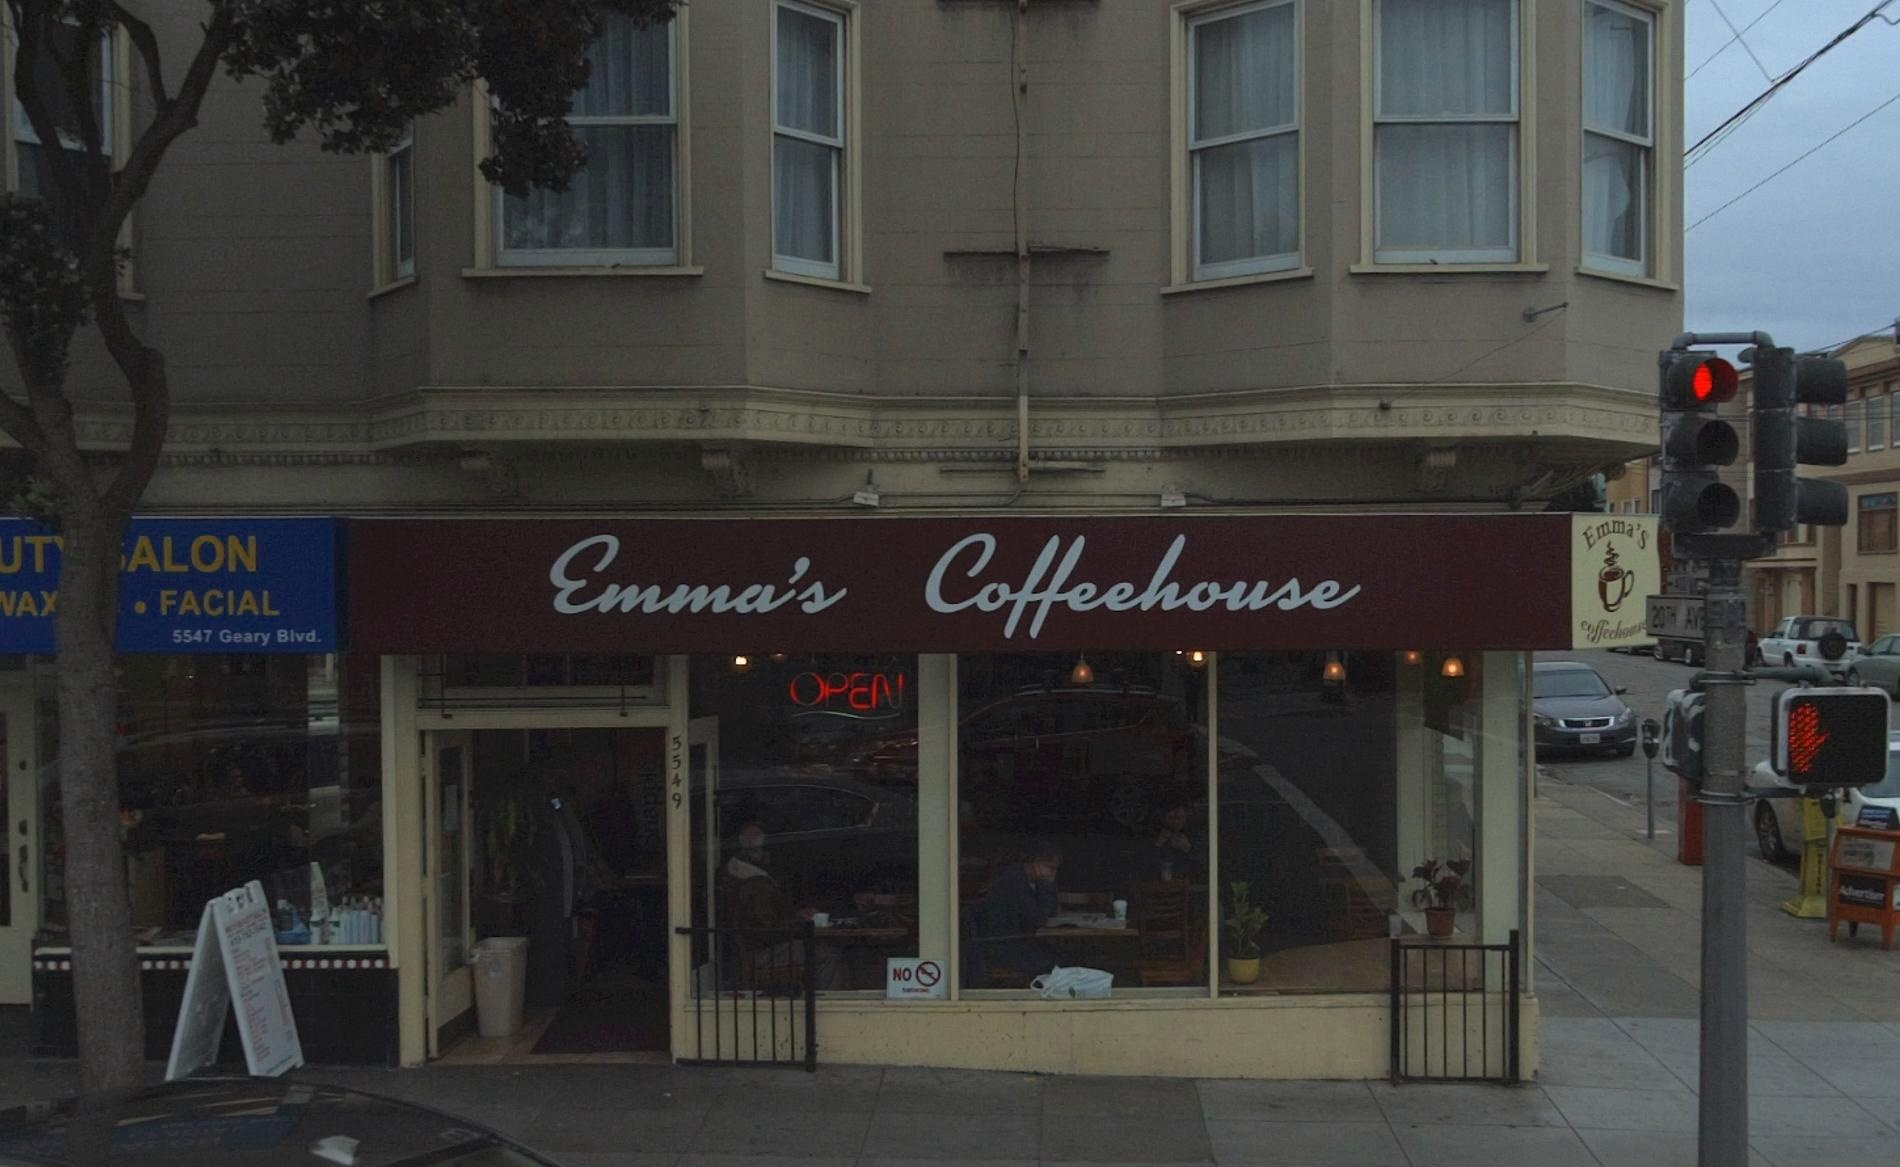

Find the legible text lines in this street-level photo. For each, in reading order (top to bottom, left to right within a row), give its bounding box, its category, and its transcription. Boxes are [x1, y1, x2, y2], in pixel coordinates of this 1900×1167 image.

[1577, 516, 1651, 554] BusinessName: Emma's
[22, 533, 260, 576] BusinessName: T***ALON
[11, 588, 43, 621] None: A
[170, 627, 216, 646] StreetNumber: 5547
[157, 586, 283, 619] None: FACIAL
[215, 625, 326, 649] StreetName: Geary Blvd.
[540, 529, 1345, 644] BusinessName: Emma's Coffeehouse
[1577, 615, 1640, 647] BusinessName: coffeeho*
[1649, 602, 1704, 634] StreetName: 20TH AV
[785, 669, 908, 714] None: OPEN
[669, 731, 684, 813] StreetNumber: 5549
[633, 754, 668, 850] None: Snapple
[890, 964, 915, 984] None: NO